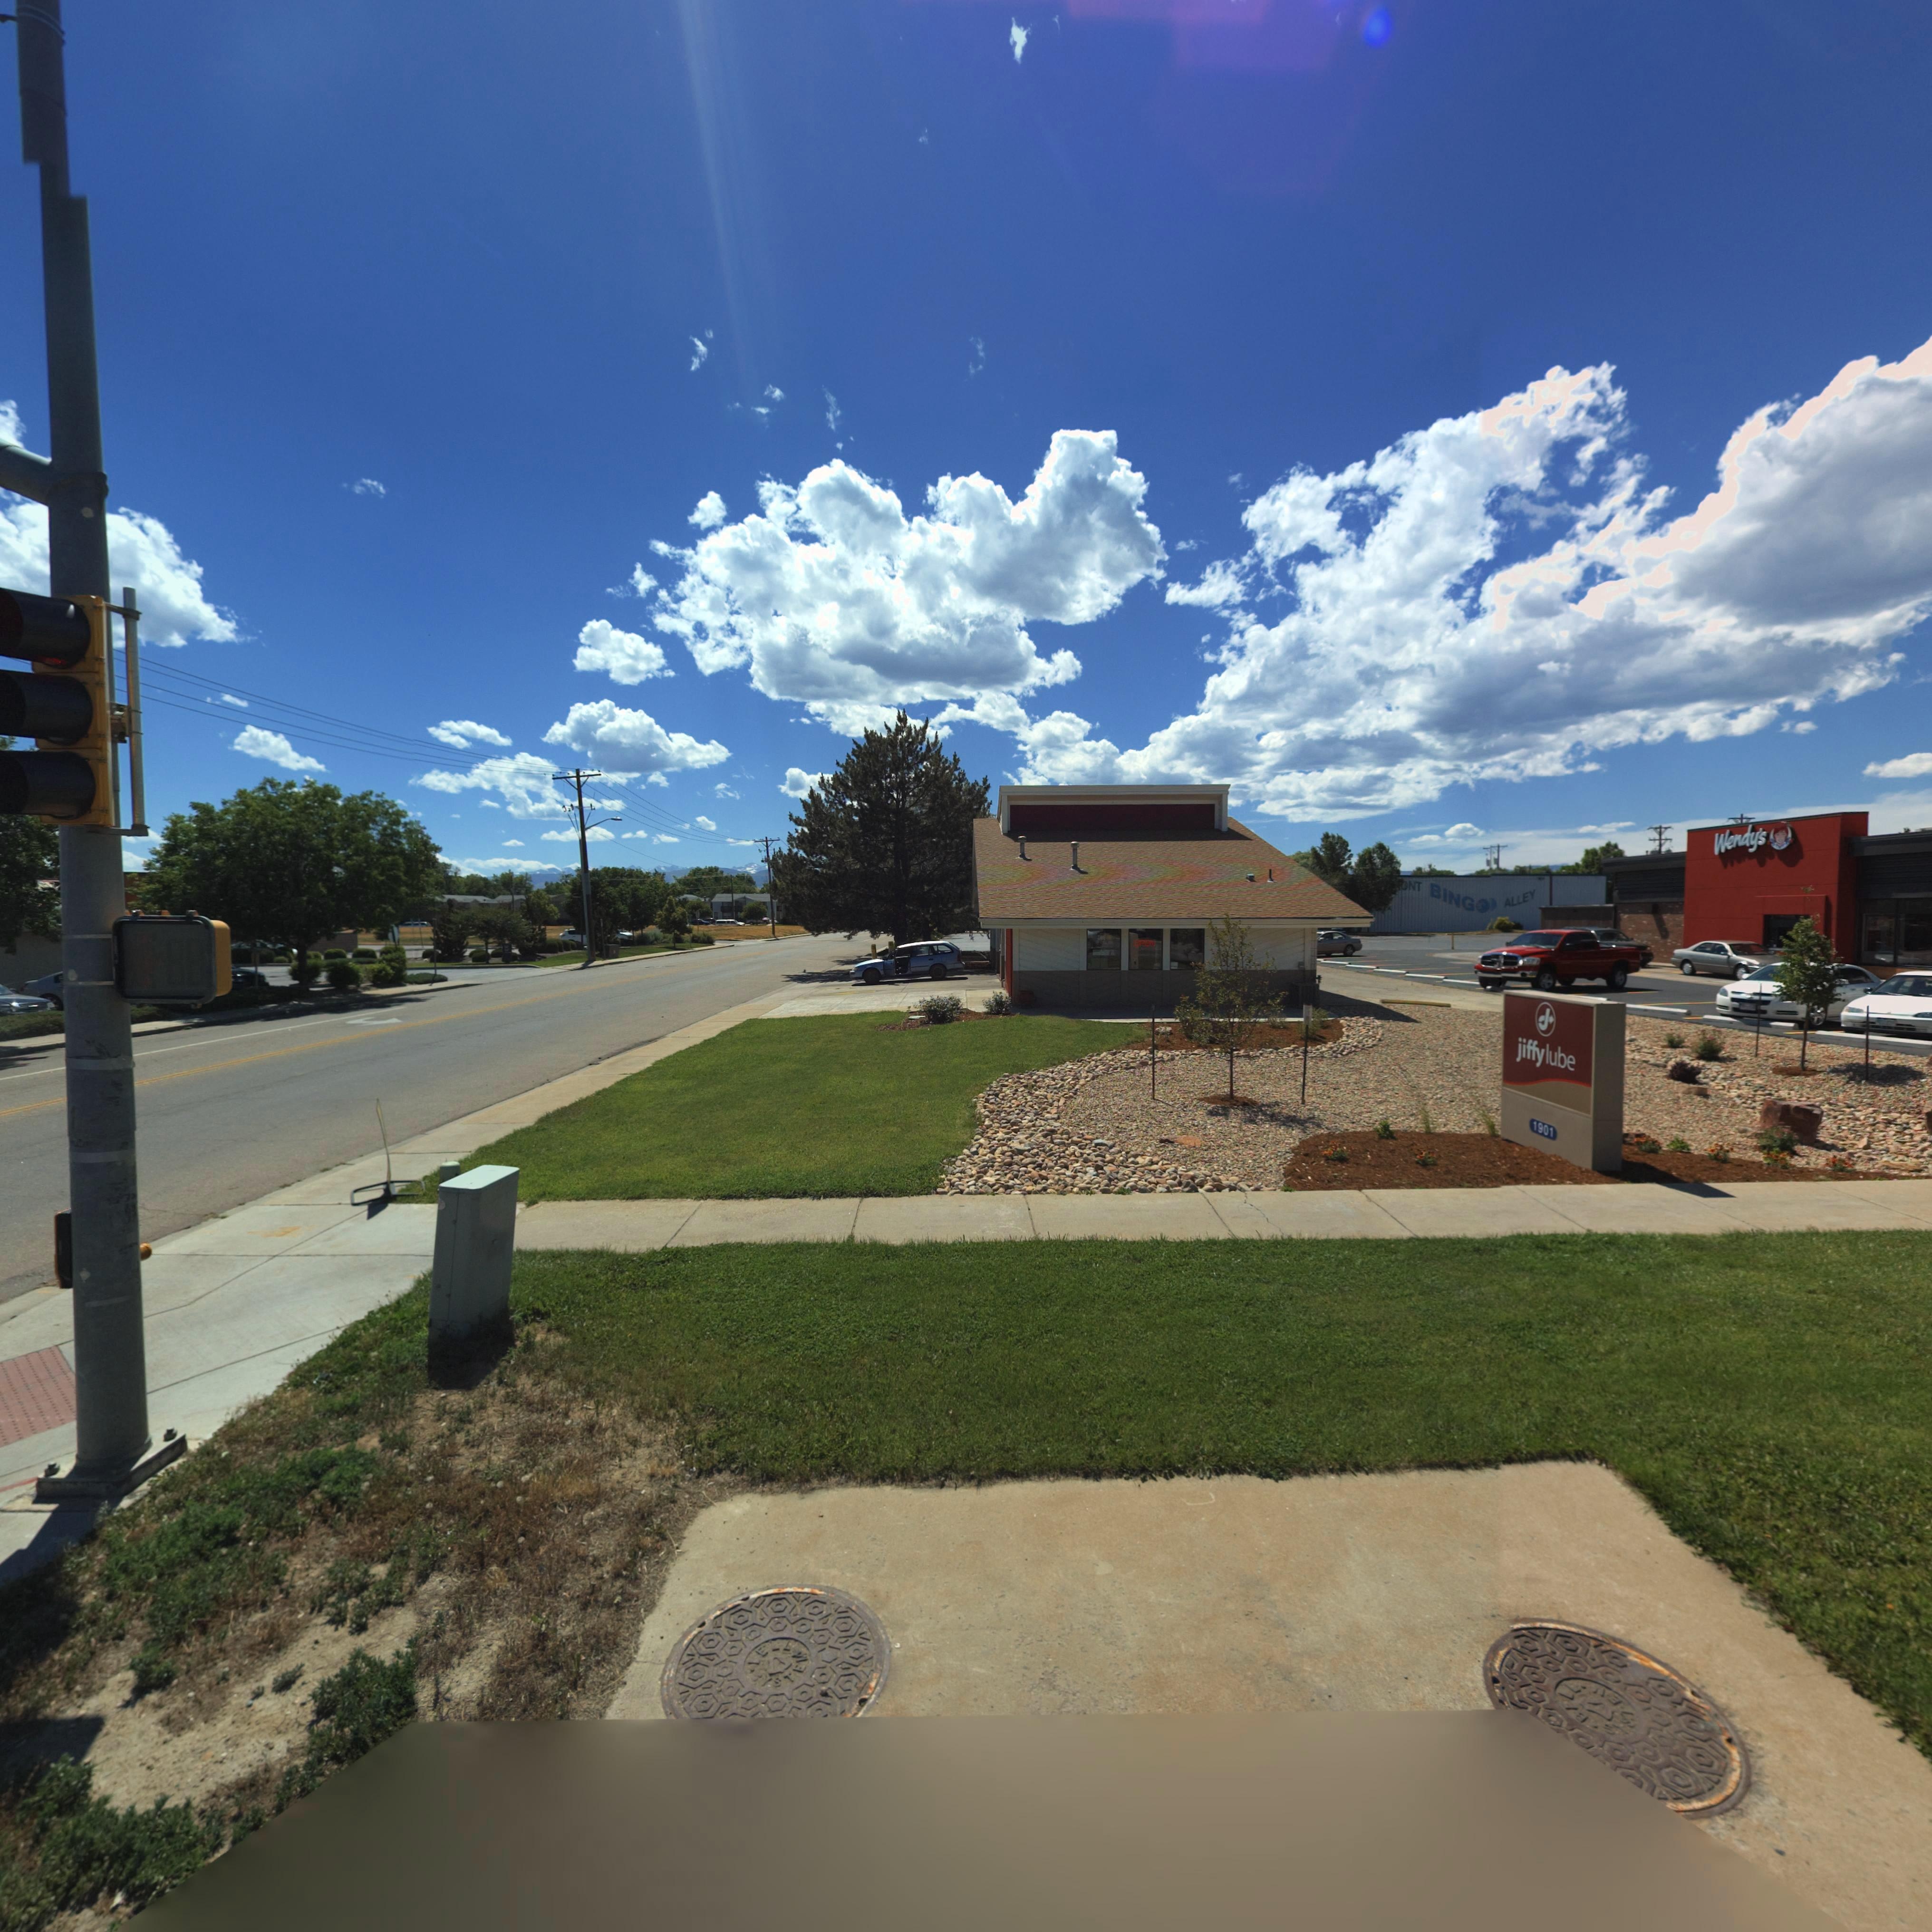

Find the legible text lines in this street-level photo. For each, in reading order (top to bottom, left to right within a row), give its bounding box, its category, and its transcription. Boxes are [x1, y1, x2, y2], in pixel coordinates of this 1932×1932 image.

[1713, 824, 1768, 856] BusinessName: Wendy's
[1514, 1036, 1576, 1072] BusinessName: jiffy lube
[1532, 1120, 1554, 1138] StreetNumber: 1901